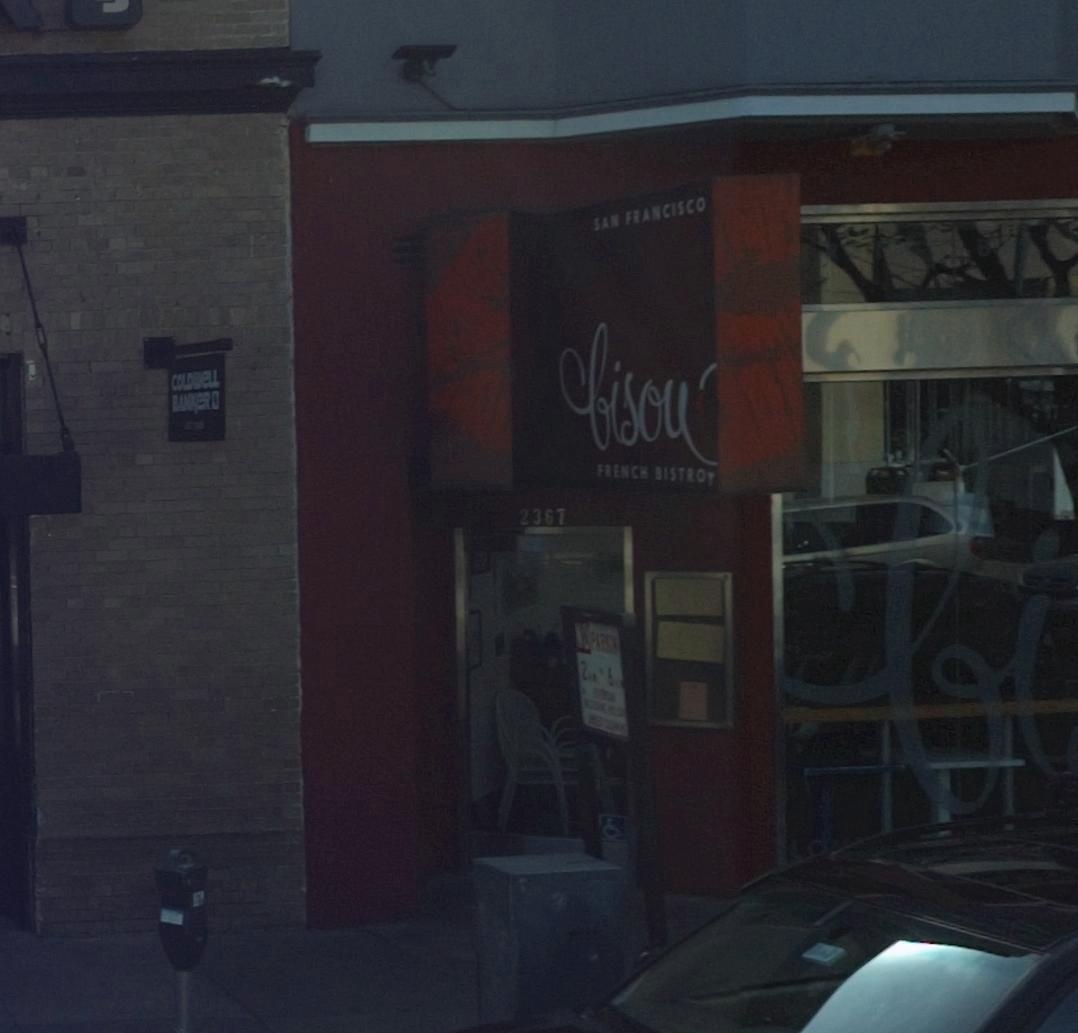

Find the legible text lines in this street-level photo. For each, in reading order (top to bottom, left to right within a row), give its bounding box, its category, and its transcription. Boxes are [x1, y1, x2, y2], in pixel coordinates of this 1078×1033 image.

[590, 193, 708, 234] None: SAN FRANCISCO
[170, 369, 221, 393] None: COLDWELL
[170, 390, 210, 413] None: BANKER
[595, 462, 717, 485] None: FRENCH BISTROT
[518, 507, 567, 526] StreetNumber: 2367
[575, 622, 590, 651] None: NO
[591, 629, 619, 655] None: PARKING
[579, 660, 590, 681] None: 2
[606, 665, 615, 688] None: 6